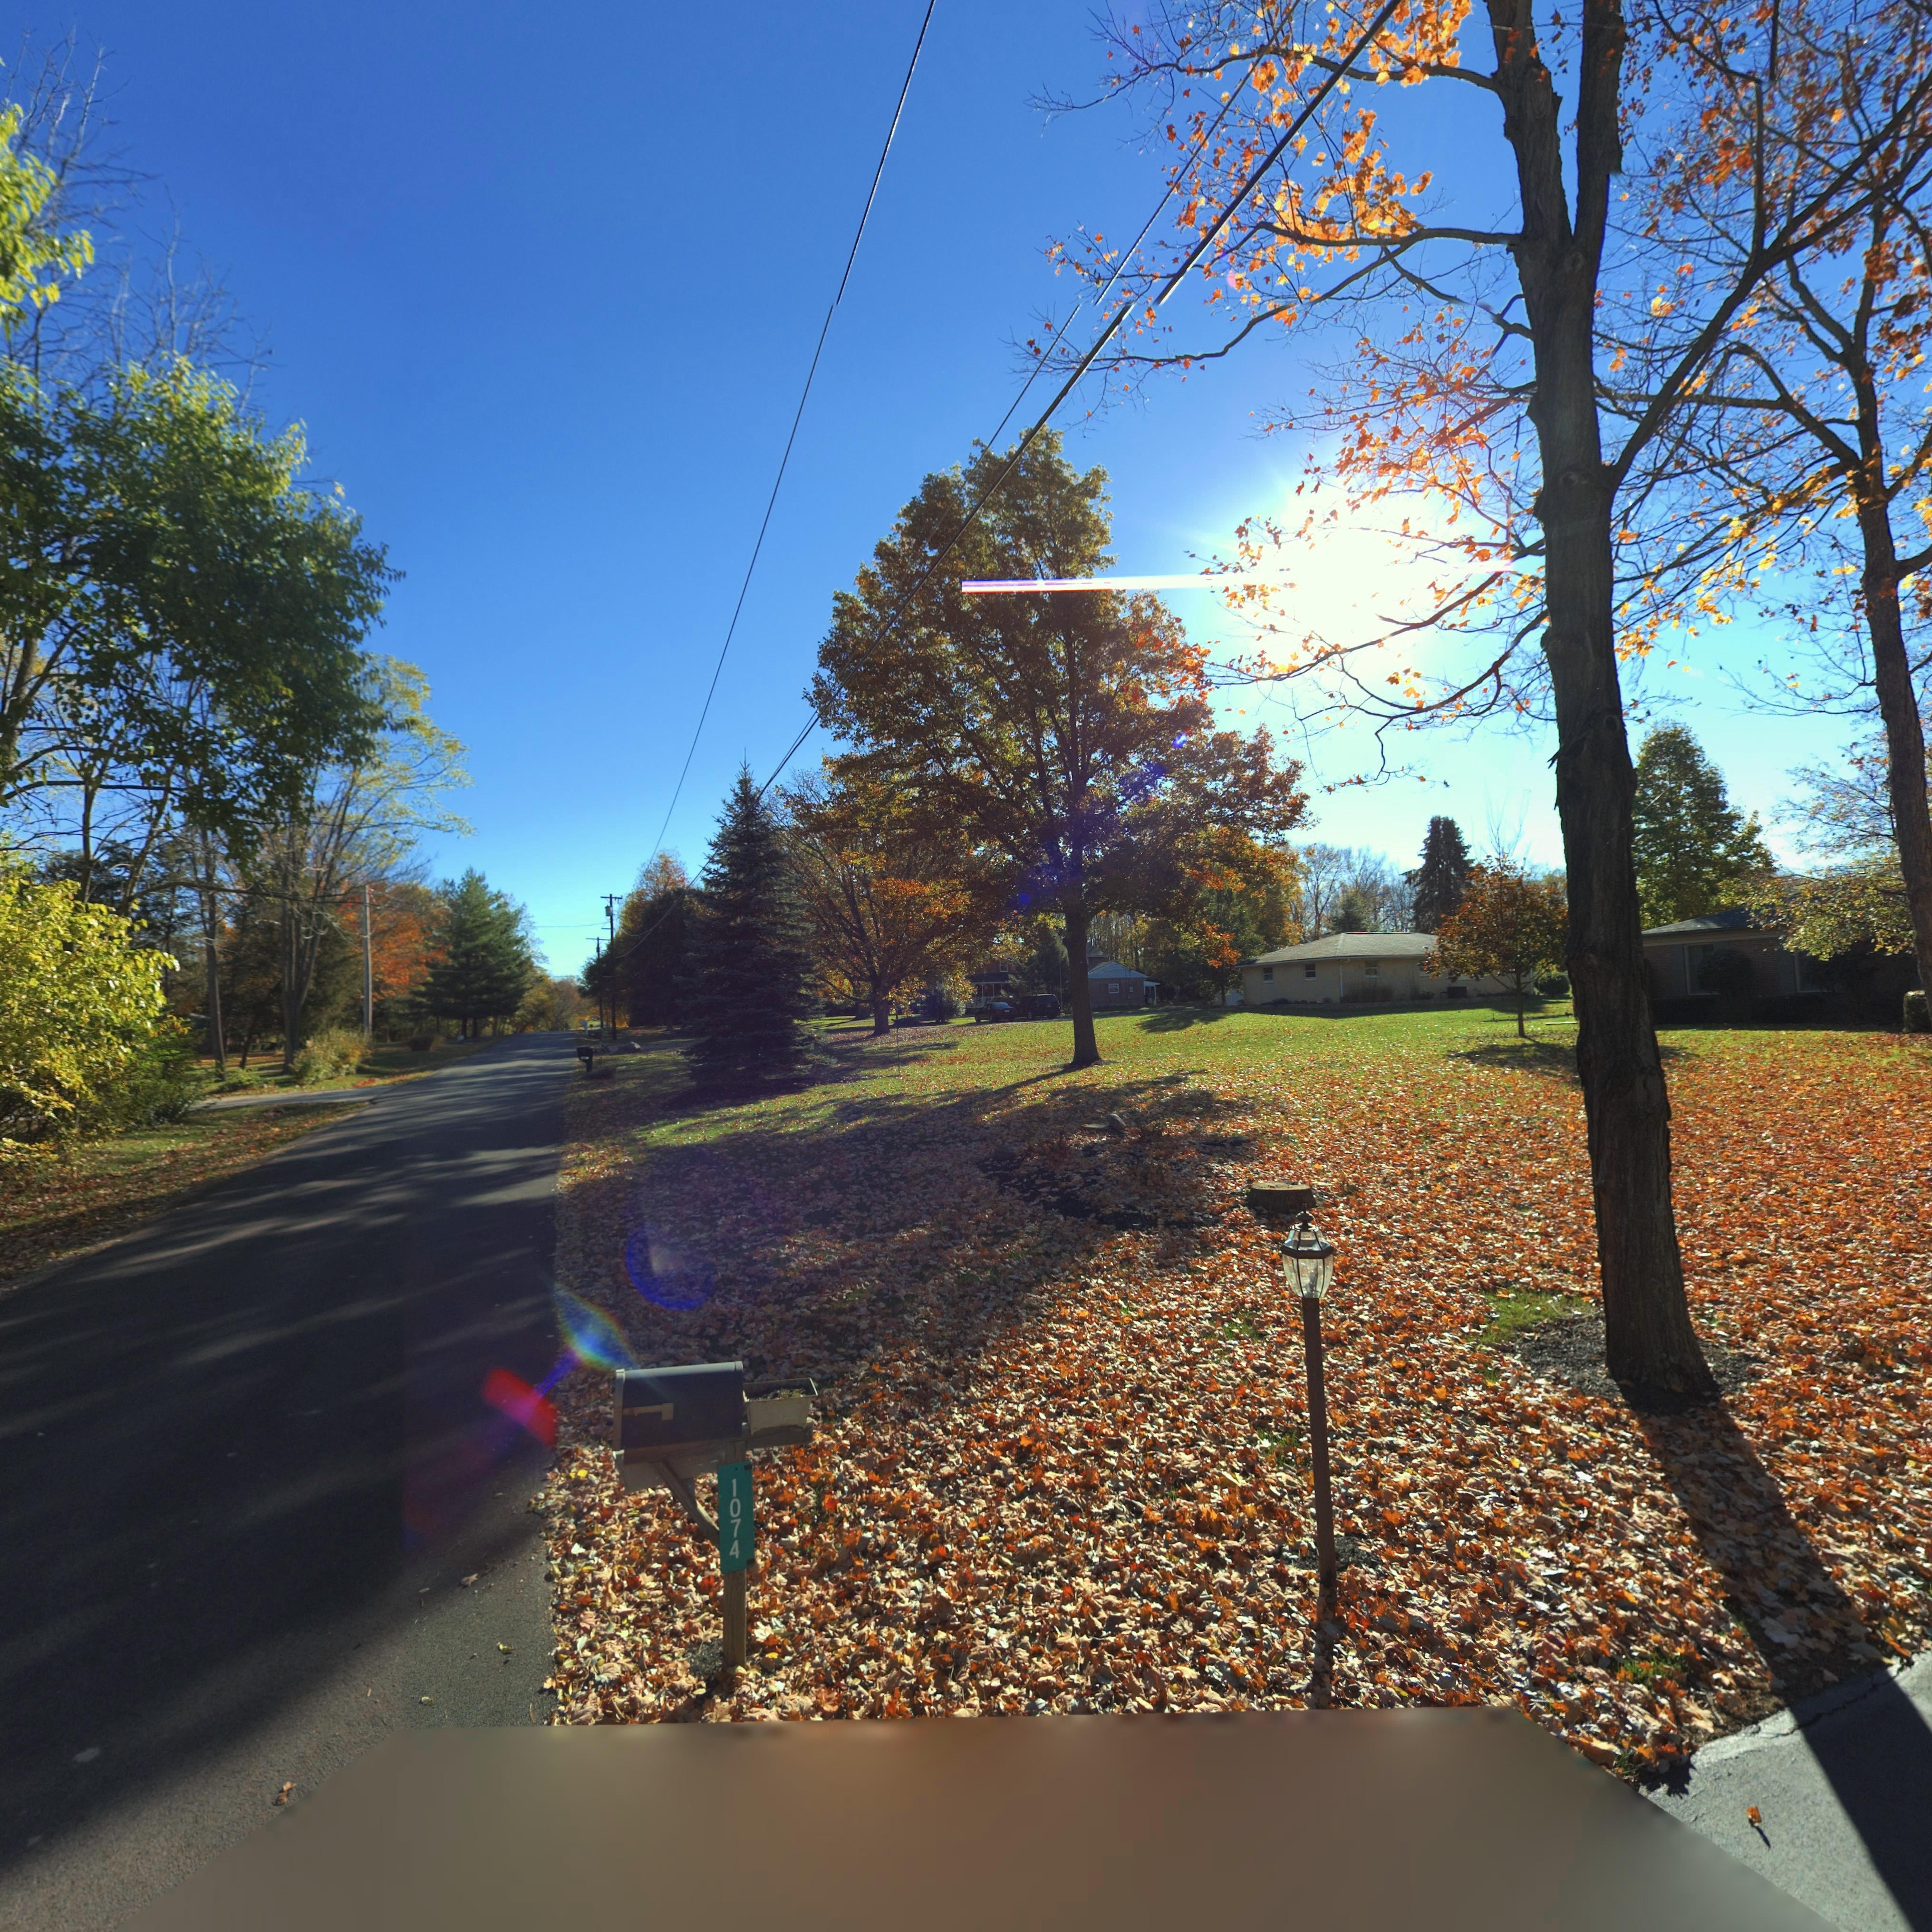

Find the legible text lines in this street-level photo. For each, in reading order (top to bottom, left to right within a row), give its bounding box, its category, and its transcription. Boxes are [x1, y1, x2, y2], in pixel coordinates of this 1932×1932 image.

[728, 1476, 743, 1561] StreetNumber: 1074